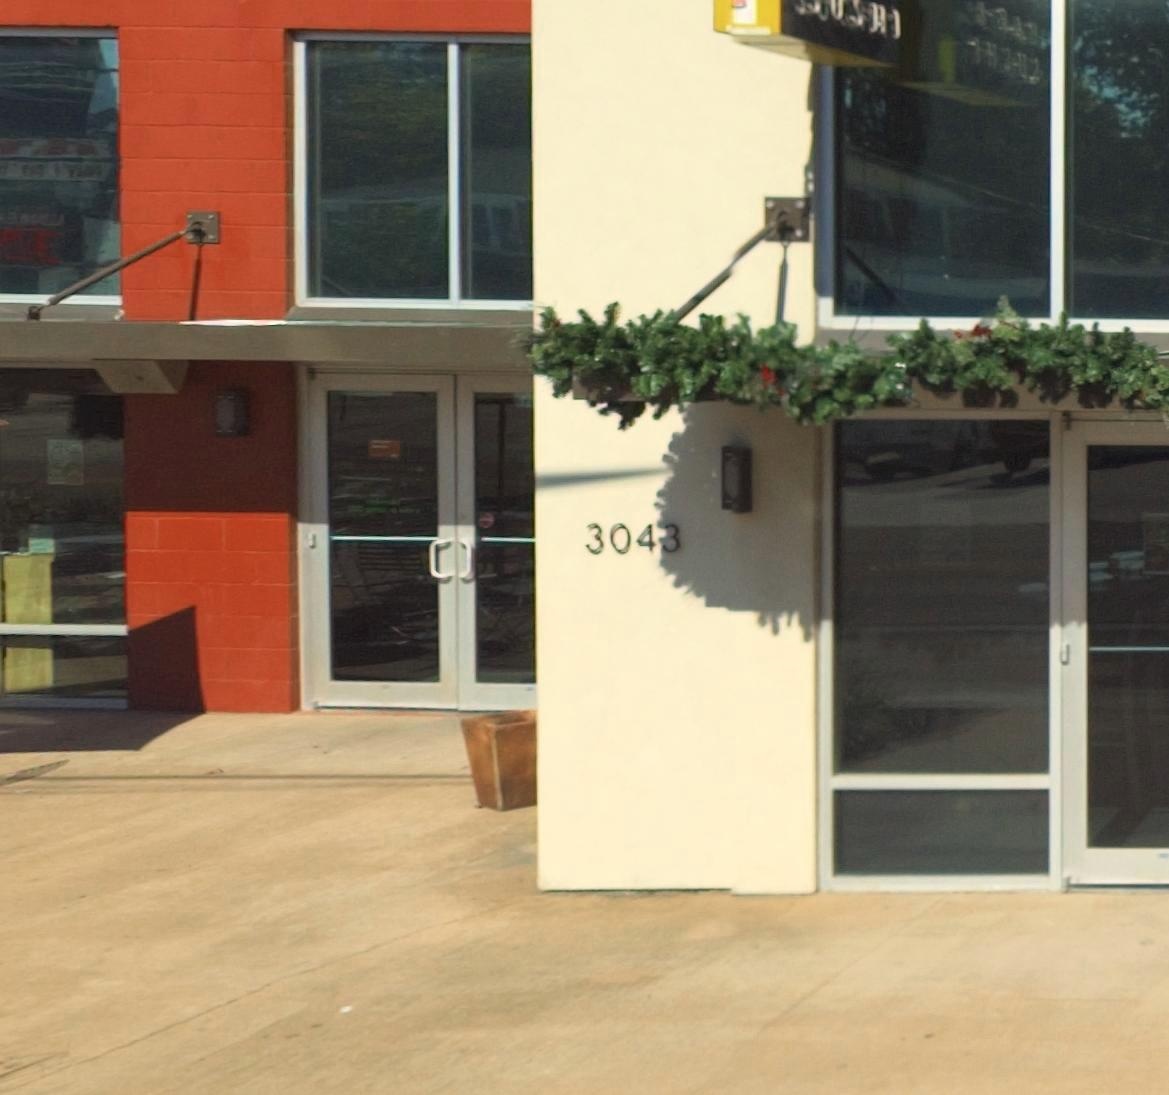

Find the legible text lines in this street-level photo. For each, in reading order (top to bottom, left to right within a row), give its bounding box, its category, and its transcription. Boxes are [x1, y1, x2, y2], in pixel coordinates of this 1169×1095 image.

[583, 520, 683, 557] StreetNumber: 3043